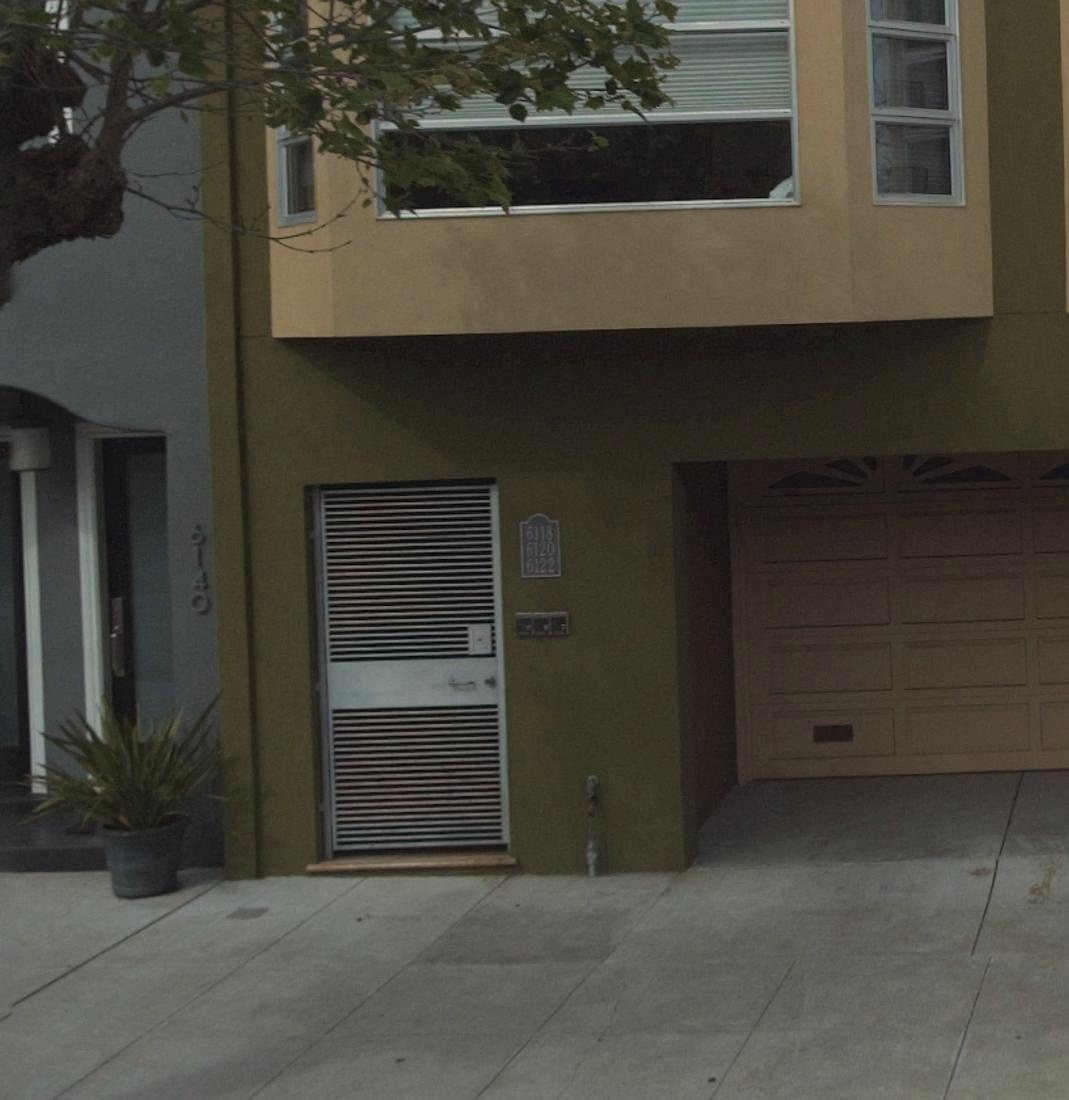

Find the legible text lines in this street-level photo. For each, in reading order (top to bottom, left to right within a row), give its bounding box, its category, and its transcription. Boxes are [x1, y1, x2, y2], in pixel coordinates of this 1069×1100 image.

[525, 525, 554, 541] StreetNumber: 6118
[525, 542, 556, 556] StreetNumber: 6120
[187, 517, 211, 616] StreetNumber: 6140
[525, 557, 556, 573] StreetNumber: 6122